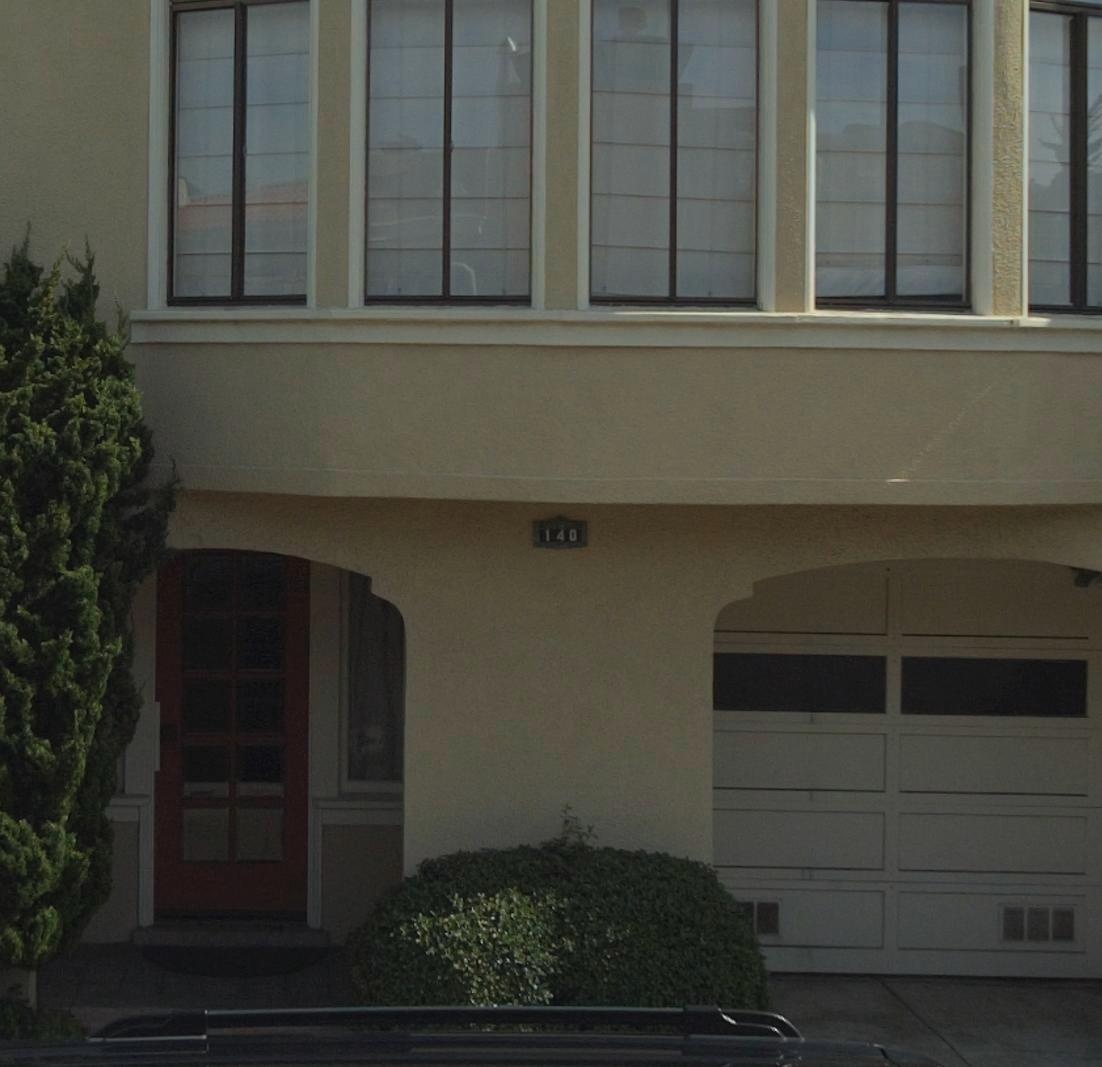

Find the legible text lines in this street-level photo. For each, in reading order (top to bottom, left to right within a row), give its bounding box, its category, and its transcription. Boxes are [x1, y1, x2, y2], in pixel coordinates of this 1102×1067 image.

[542, 527, 579, 543] StreetNumber: 140